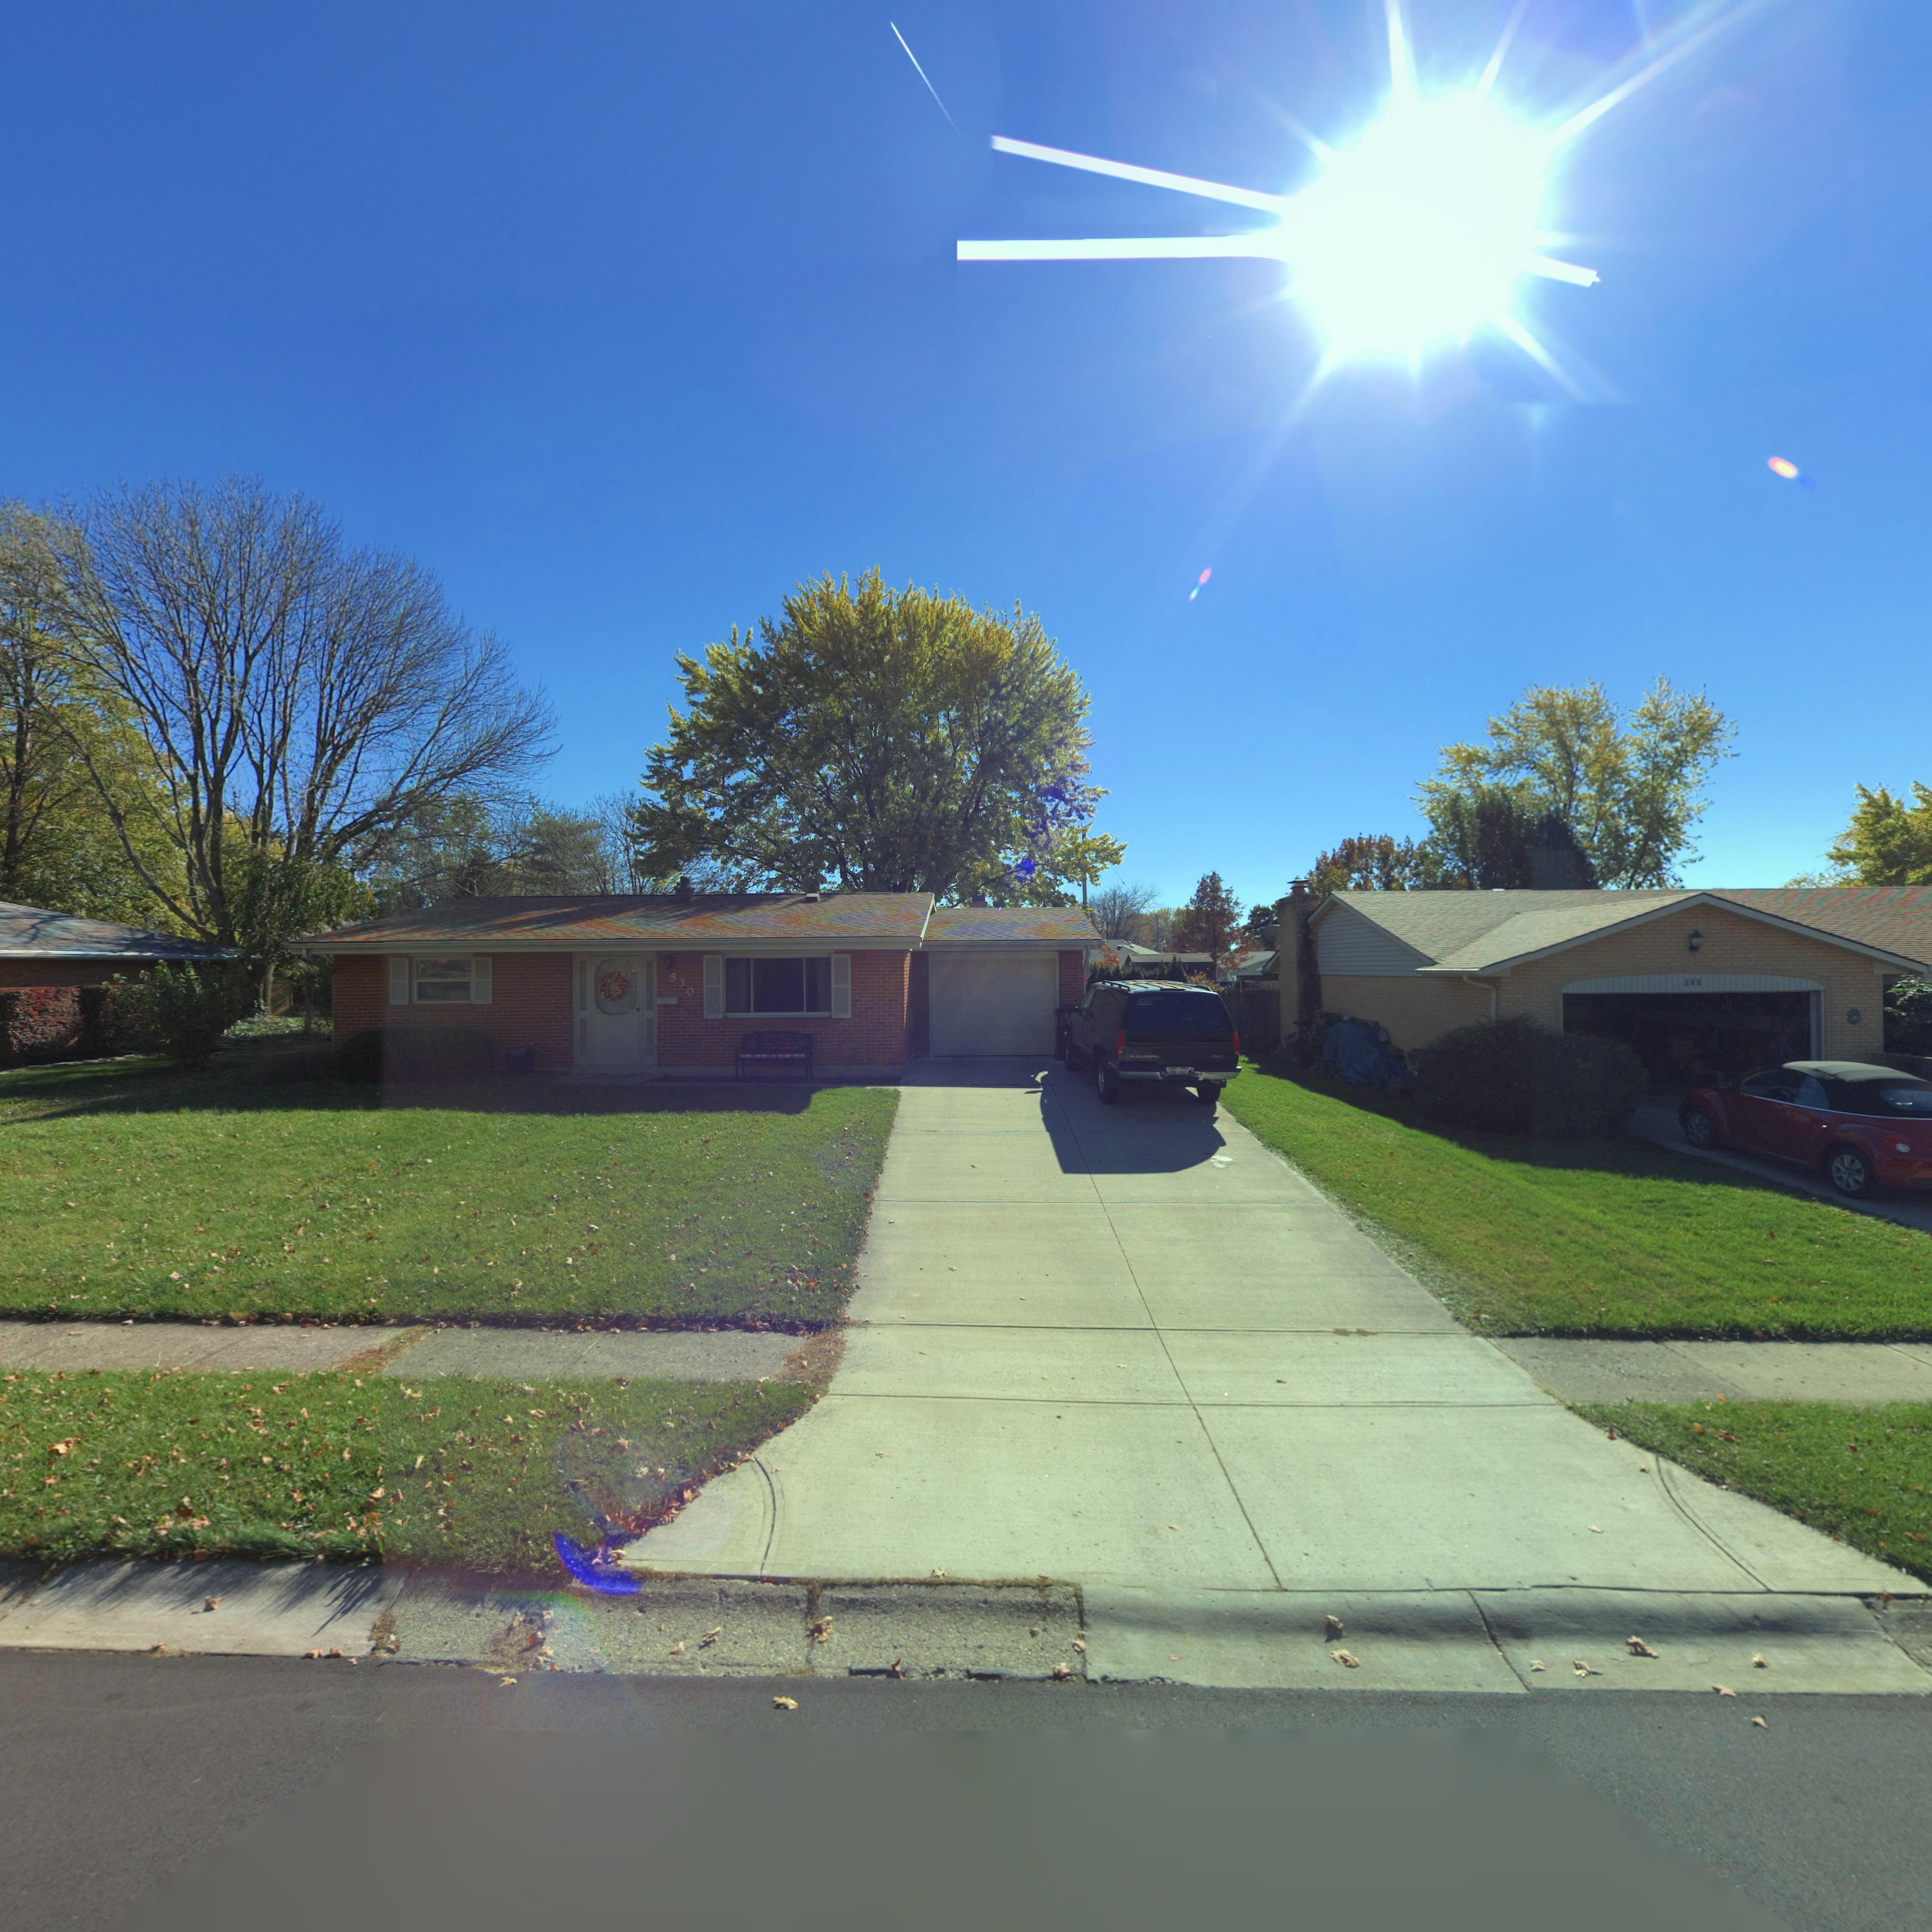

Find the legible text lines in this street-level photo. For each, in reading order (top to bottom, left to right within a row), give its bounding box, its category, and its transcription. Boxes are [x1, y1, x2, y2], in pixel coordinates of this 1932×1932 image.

[668, 972, 696, 997] StreetNumber: 530
[1184, 1070, 1188, 1075] None: 2